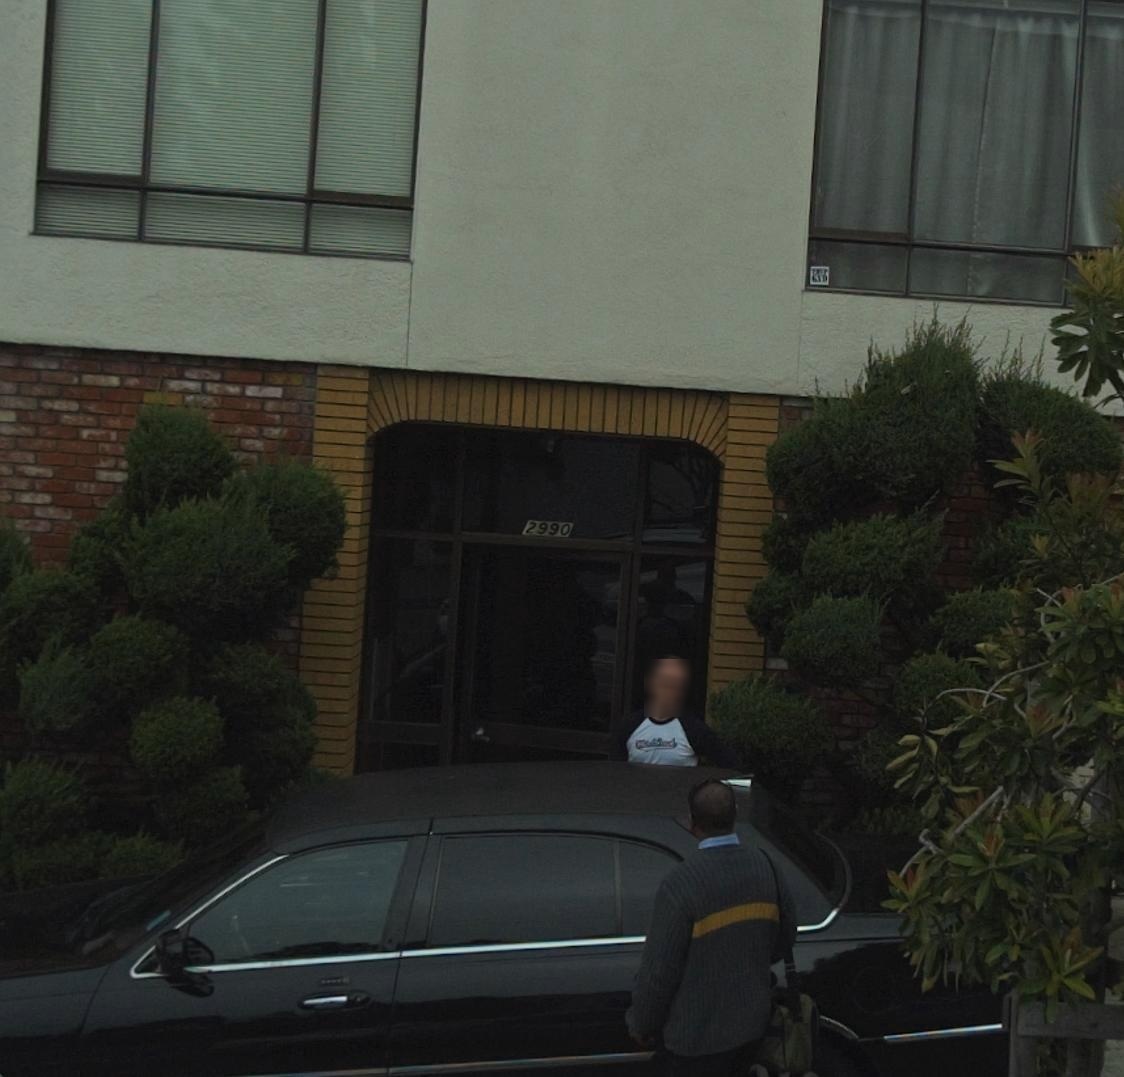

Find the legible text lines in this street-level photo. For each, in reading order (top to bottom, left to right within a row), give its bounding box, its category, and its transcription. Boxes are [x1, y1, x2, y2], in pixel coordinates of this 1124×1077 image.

[522, 520, 575, 538] StreetNumber: 2990